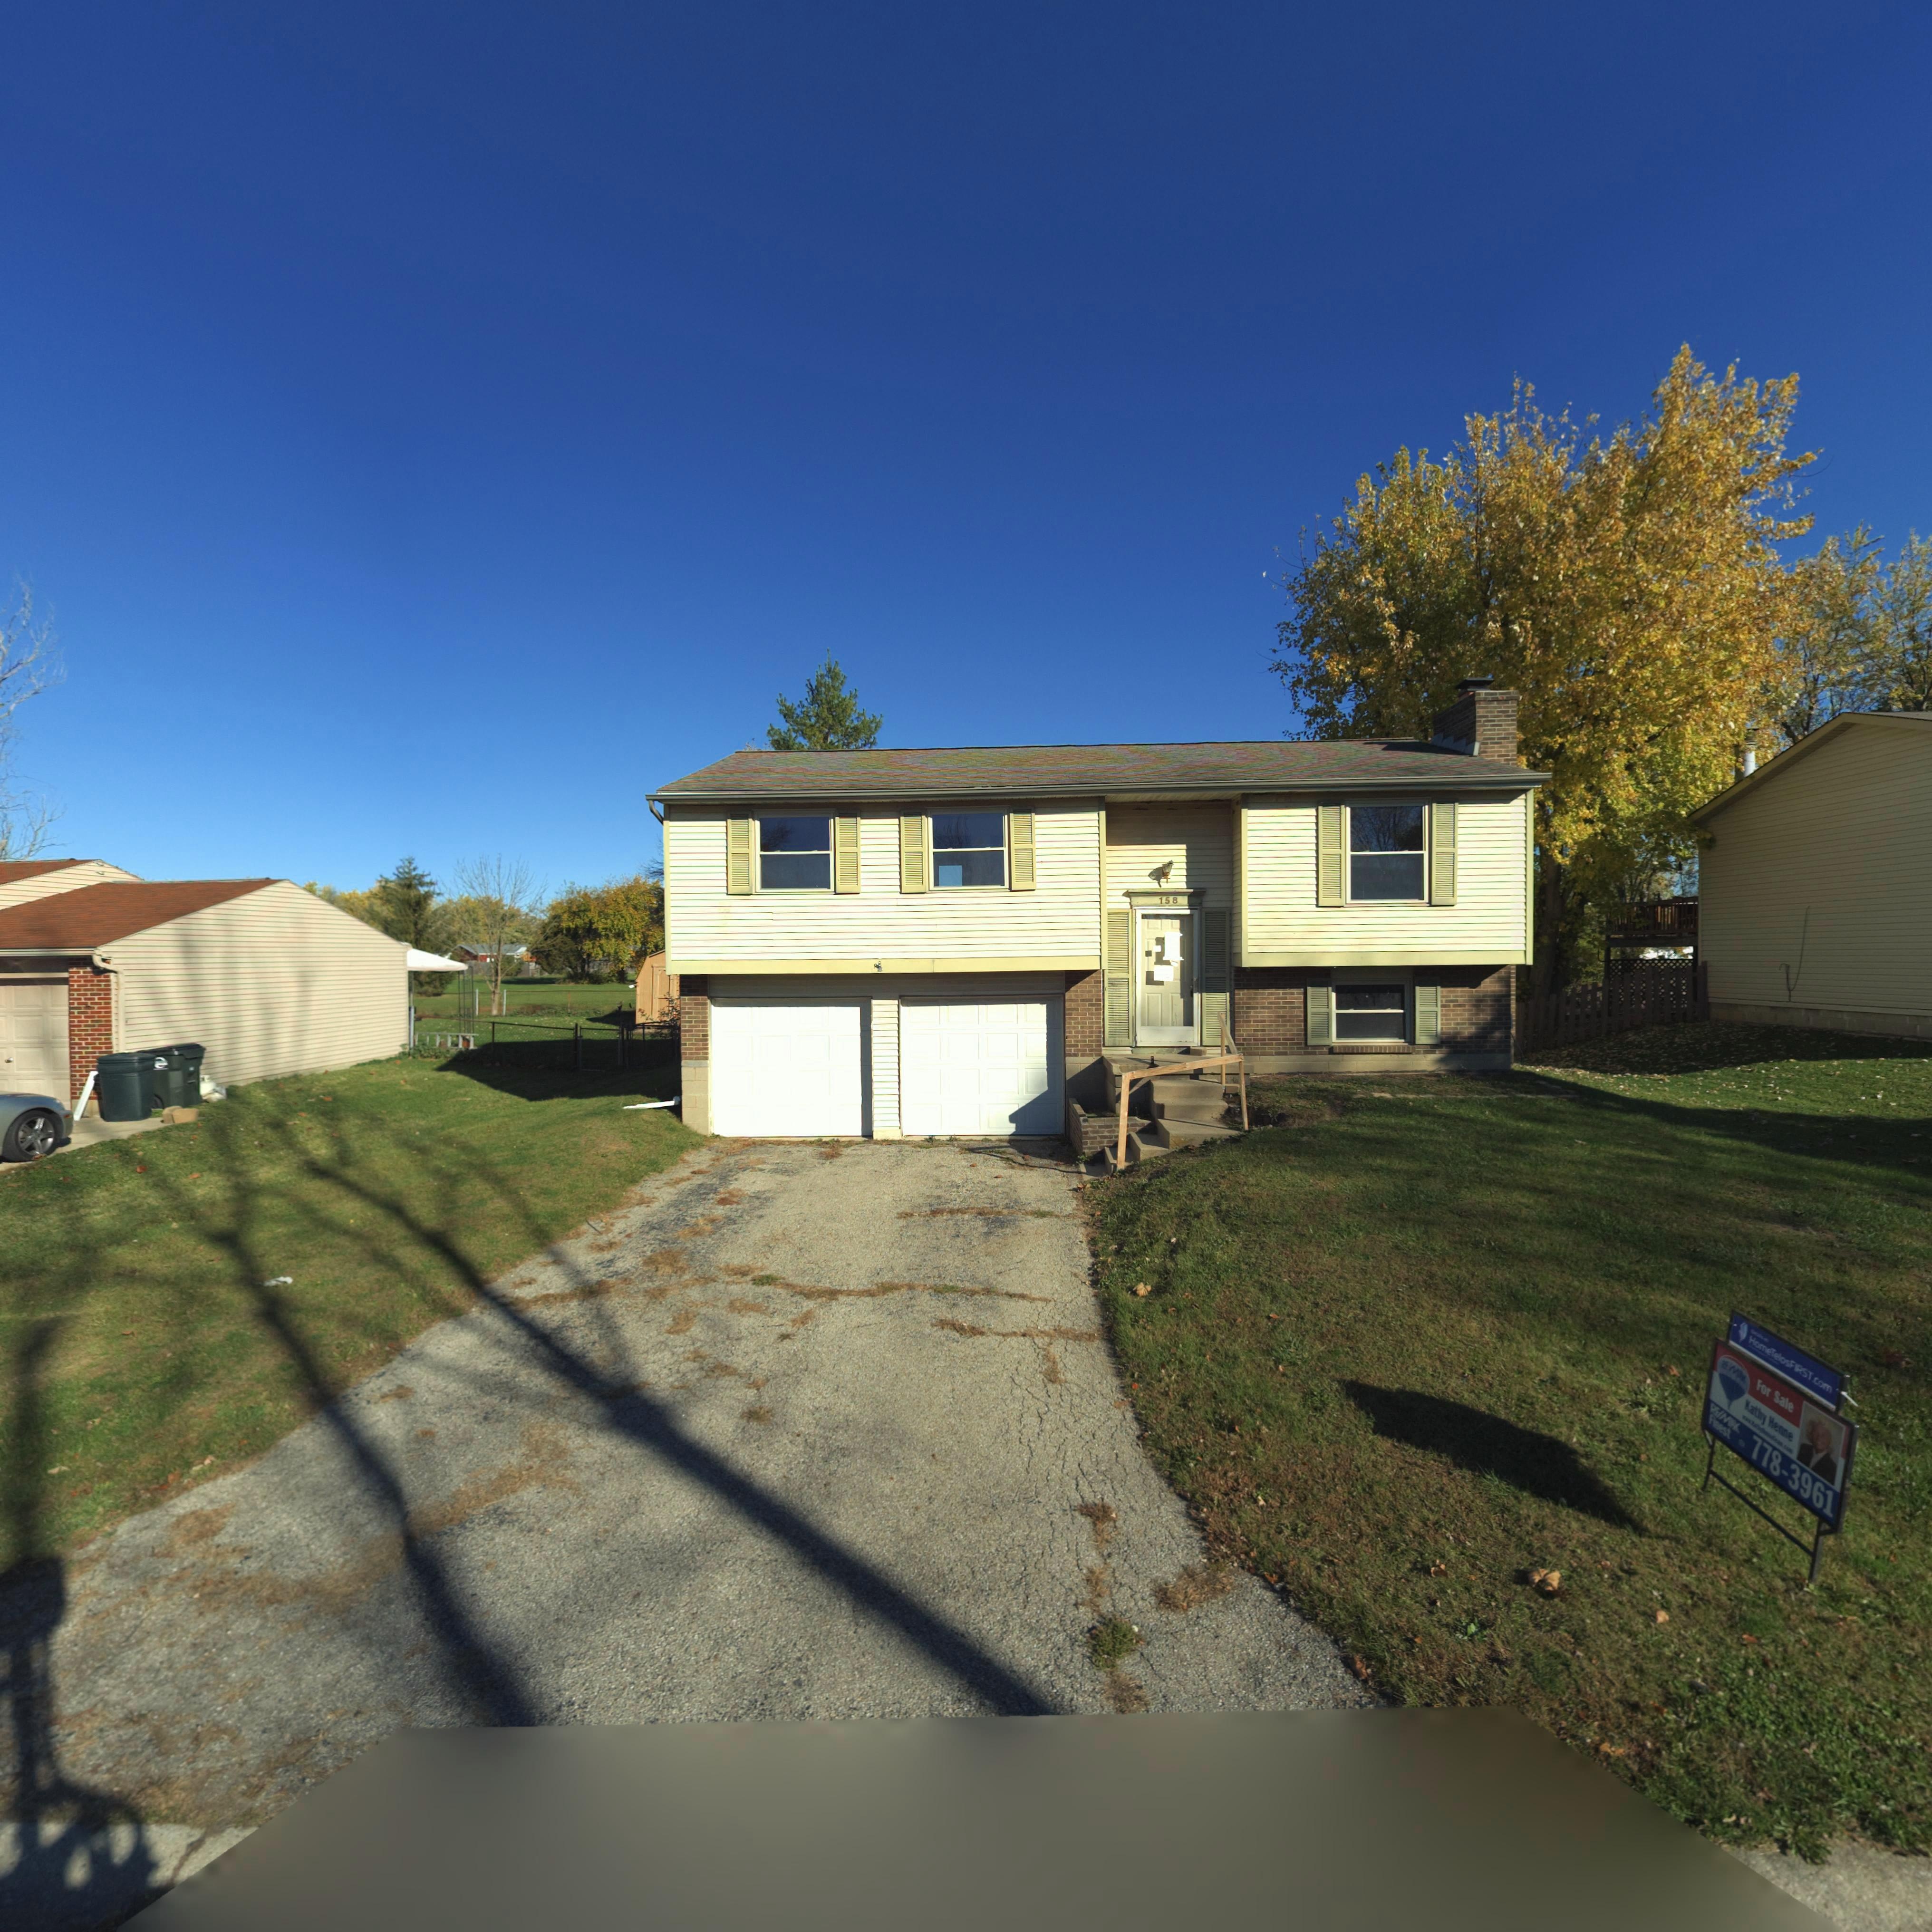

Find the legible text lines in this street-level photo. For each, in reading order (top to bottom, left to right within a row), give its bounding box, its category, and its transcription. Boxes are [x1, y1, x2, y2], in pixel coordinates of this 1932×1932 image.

[1158, 896, 1179, 905] StreetNumber: 158